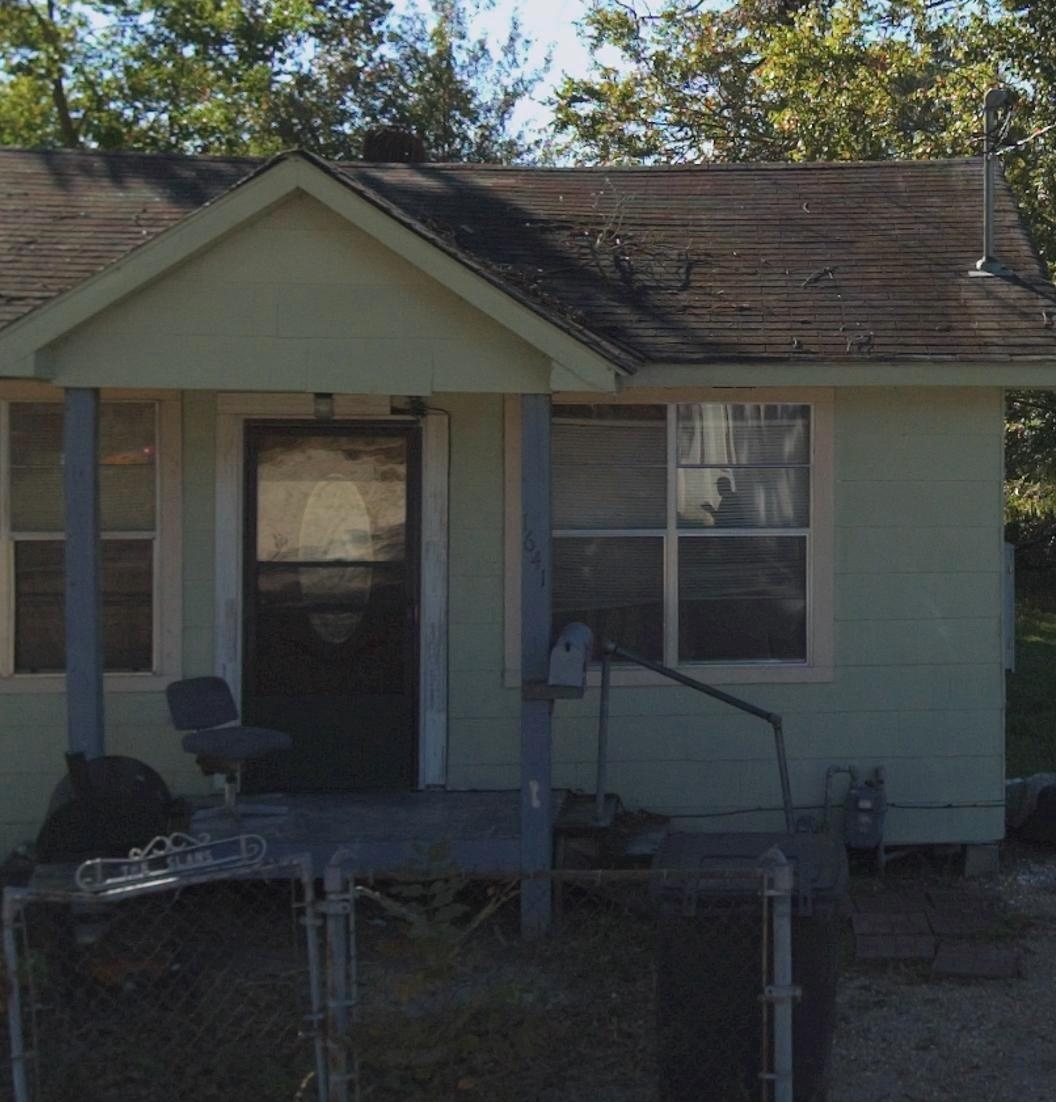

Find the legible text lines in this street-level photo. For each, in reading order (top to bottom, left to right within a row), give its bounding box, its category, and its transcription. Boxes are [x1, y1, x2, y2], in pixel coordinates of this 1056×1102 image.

[519, 509, 550, 594] StreetNumber: 1641